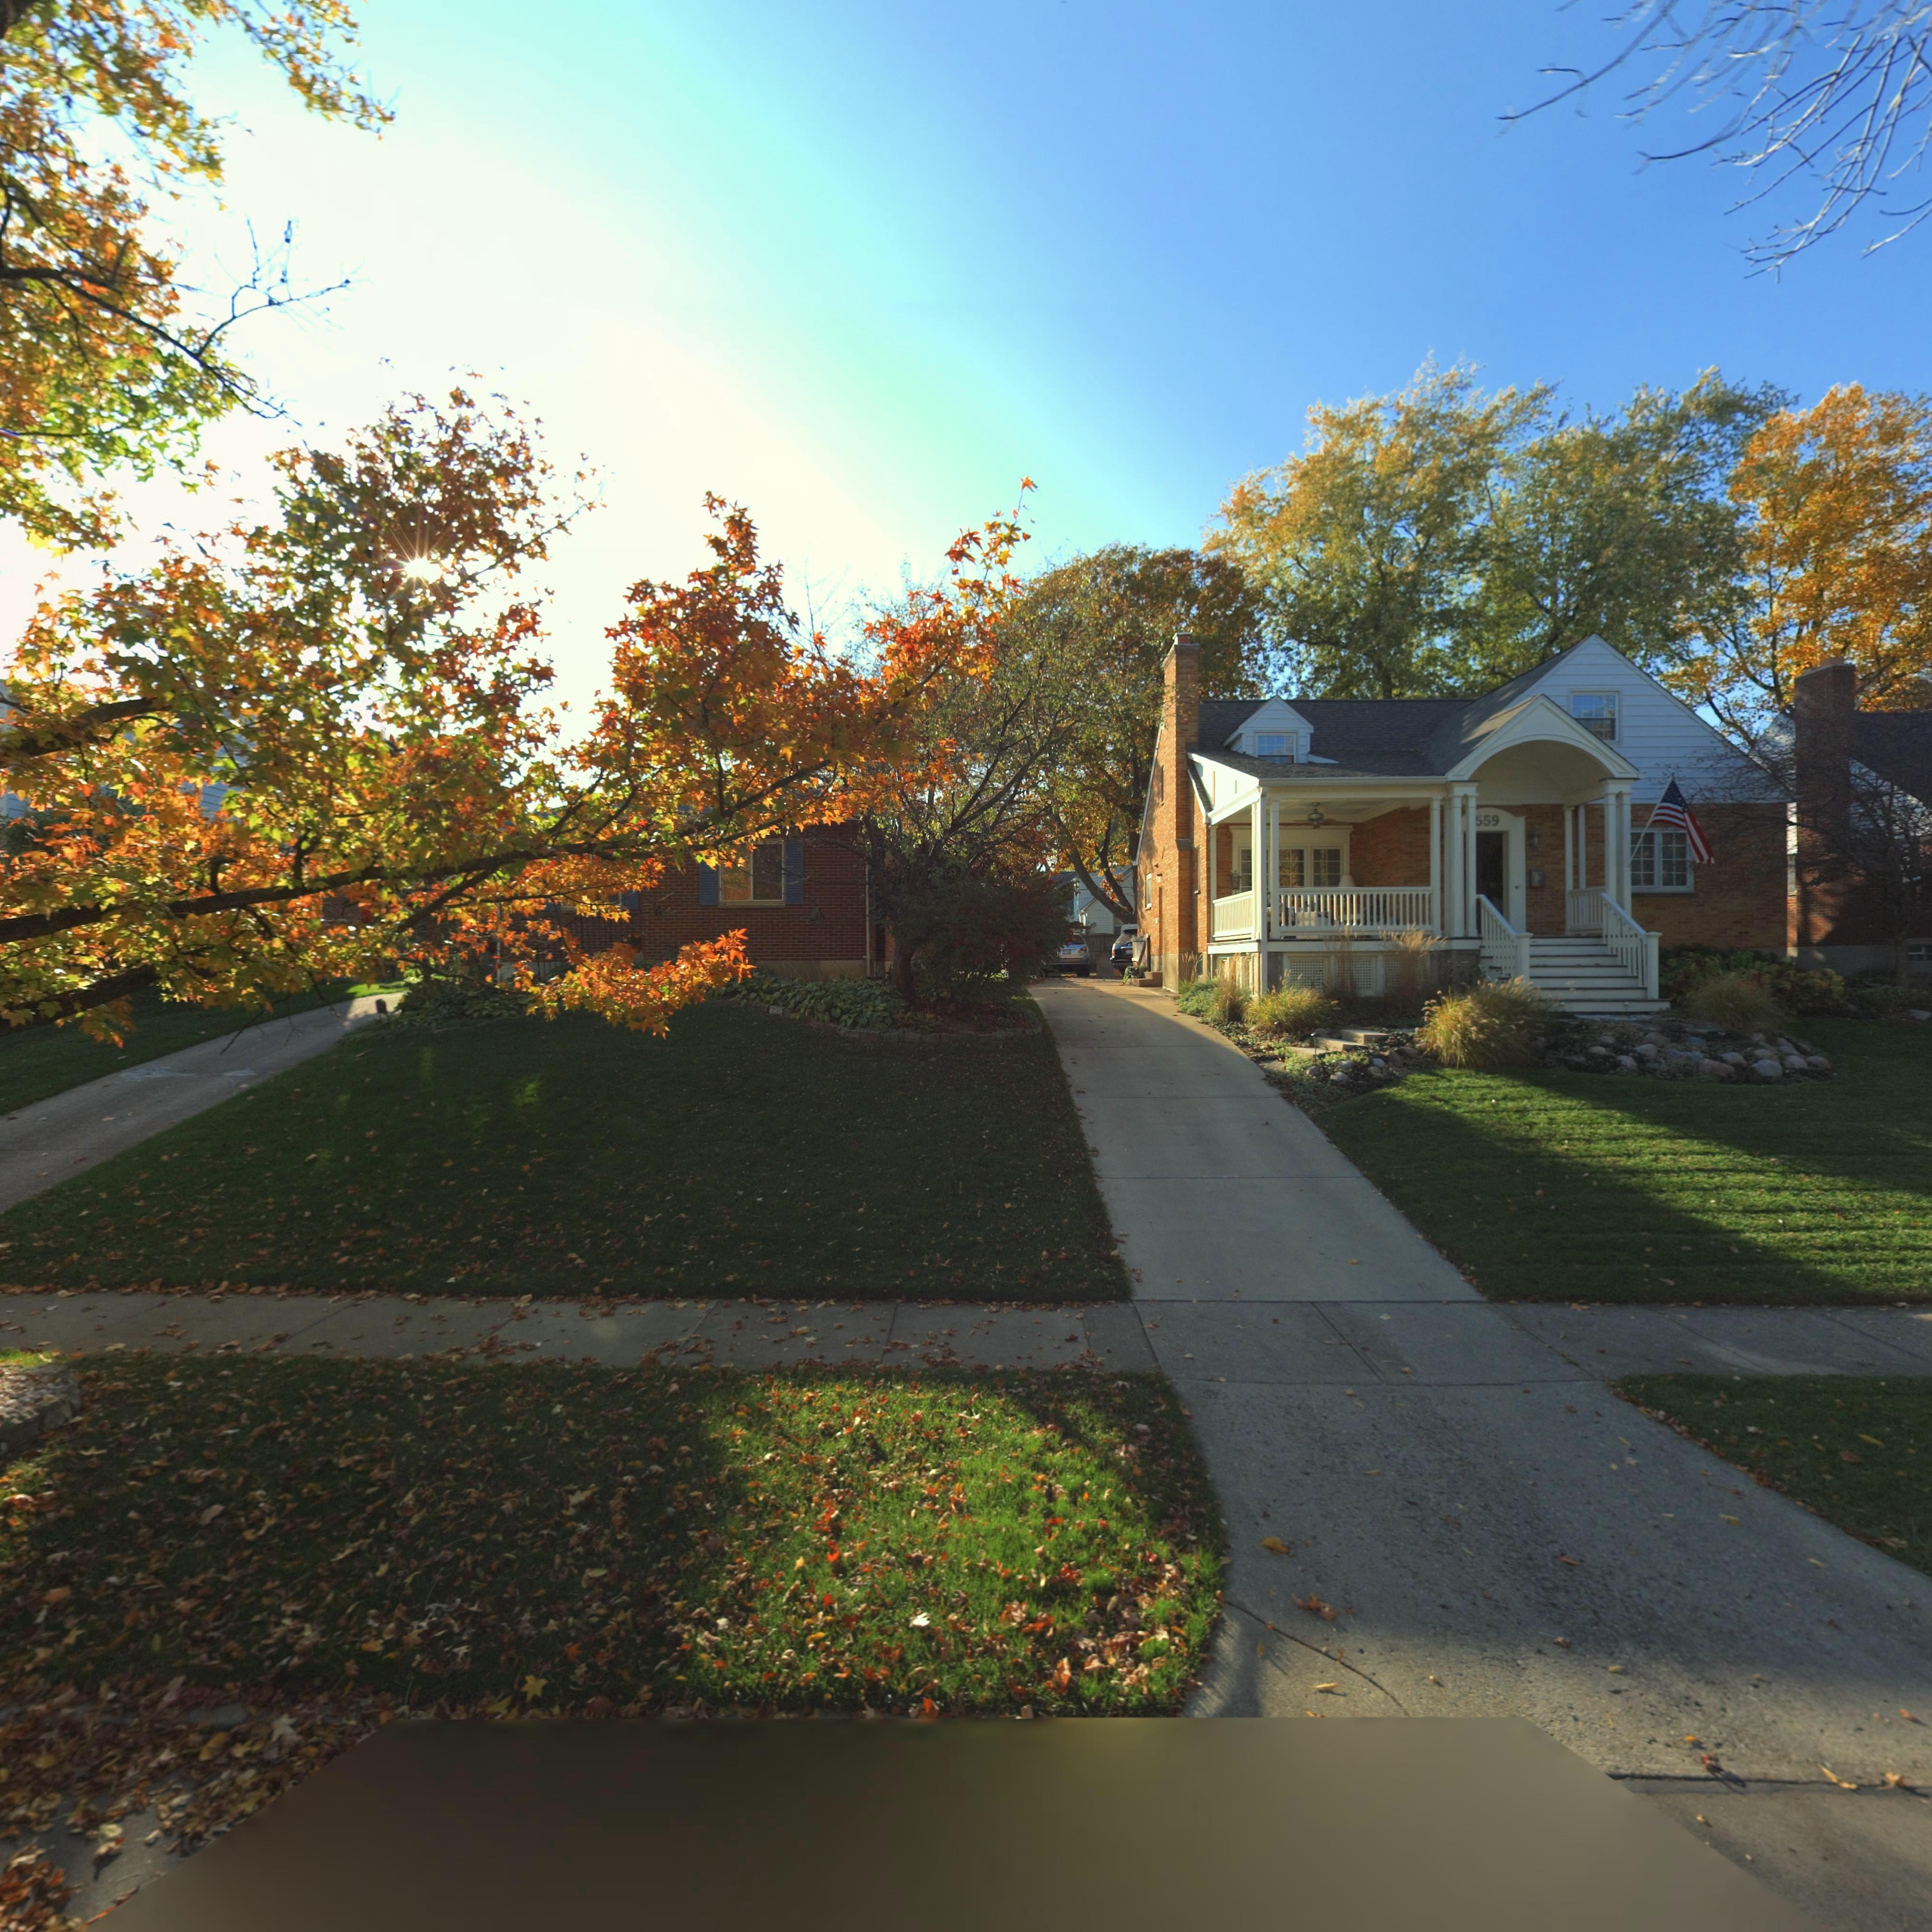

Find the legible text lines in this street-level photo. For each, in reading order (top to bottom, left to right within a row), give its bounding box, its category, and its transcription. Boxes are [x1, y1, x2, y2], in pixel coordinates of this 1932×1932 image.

[1475, 813, 1499, 826] StreetNumber: 559